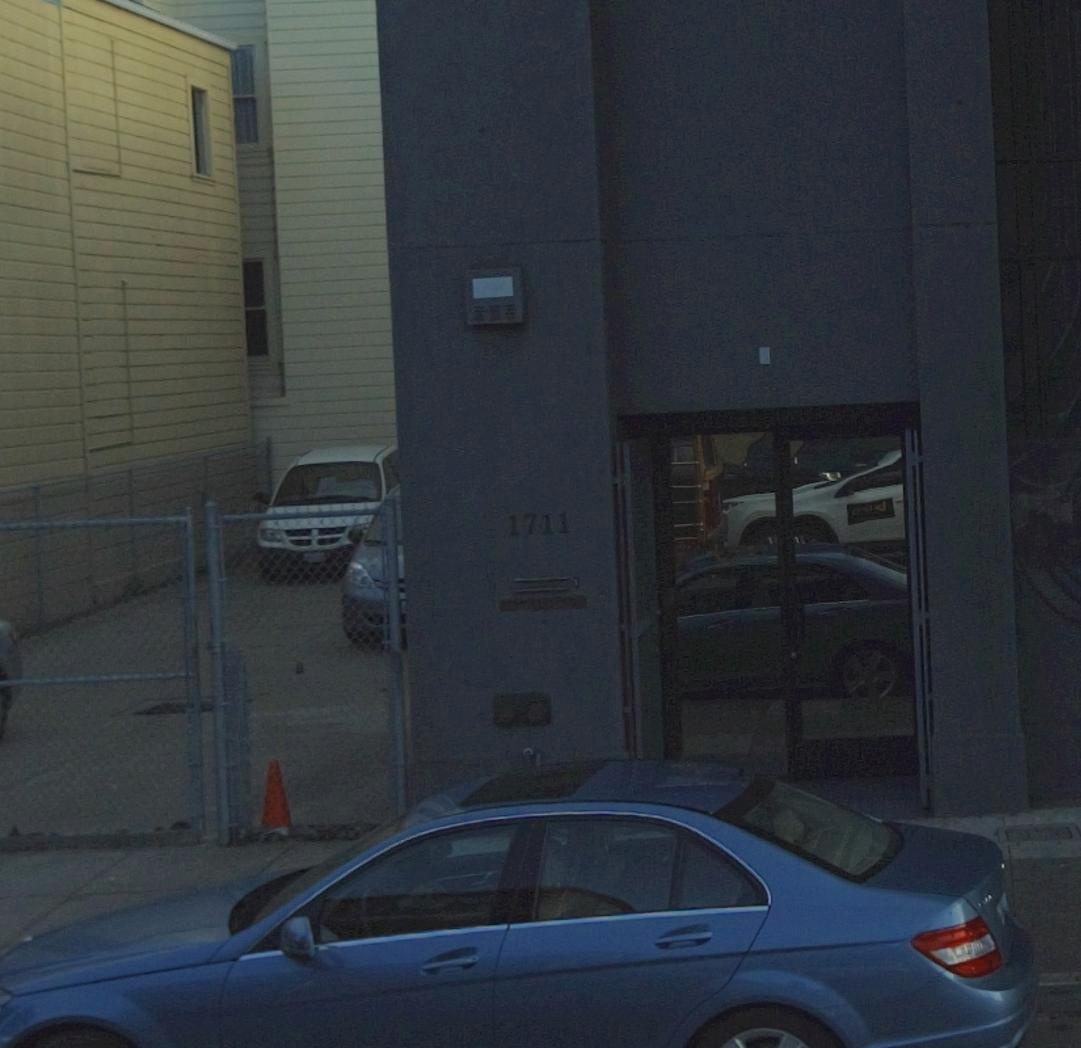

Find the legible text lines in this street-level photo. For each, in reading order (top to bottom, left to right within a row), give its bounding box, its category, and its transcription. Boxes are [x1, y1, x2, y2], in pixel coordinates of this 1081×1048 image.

[505, 508, 572, 540] StreetNumber: 1711